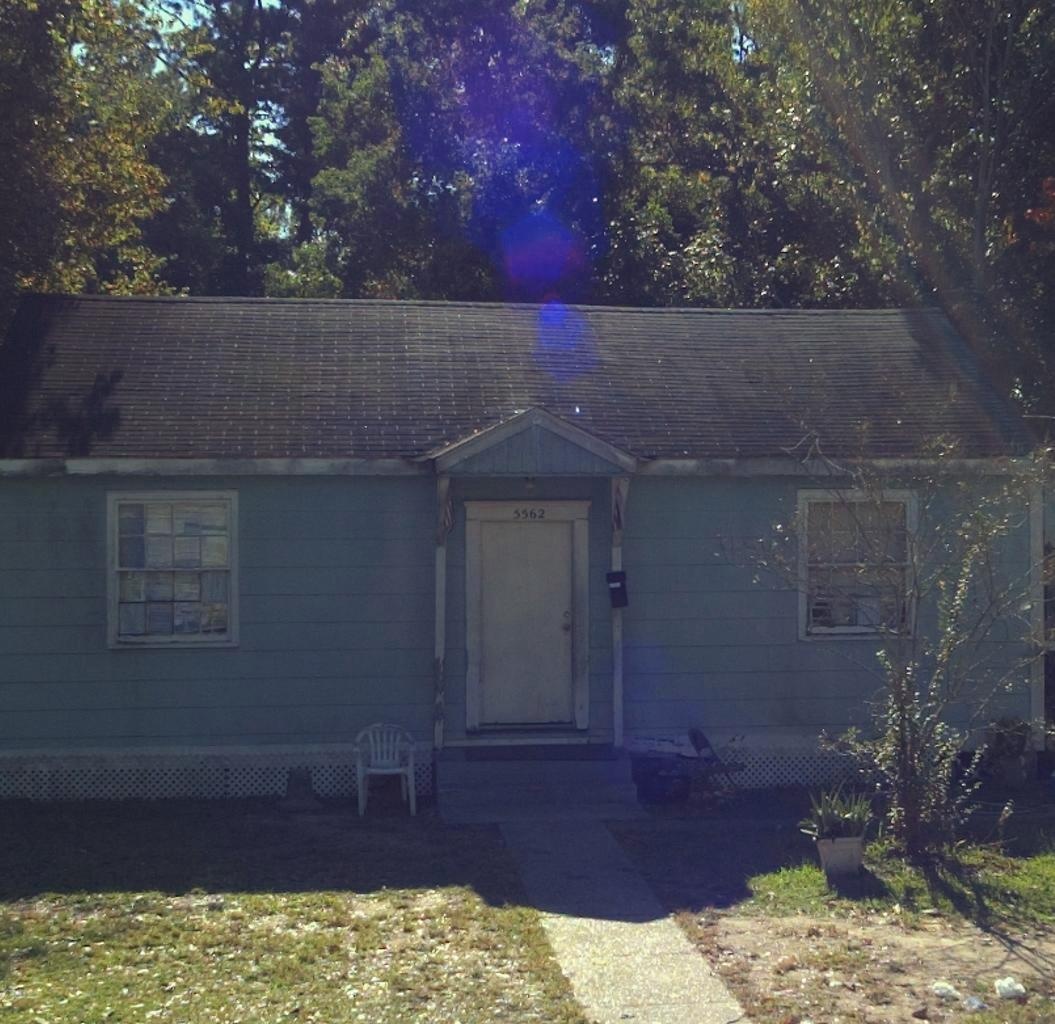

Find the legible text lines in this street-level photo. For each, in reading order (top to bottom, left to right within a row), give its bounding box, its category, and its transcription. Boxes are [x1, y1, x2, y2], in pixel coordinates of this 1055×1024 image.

[511, 506, 547, 522] StreetNumber: 5562